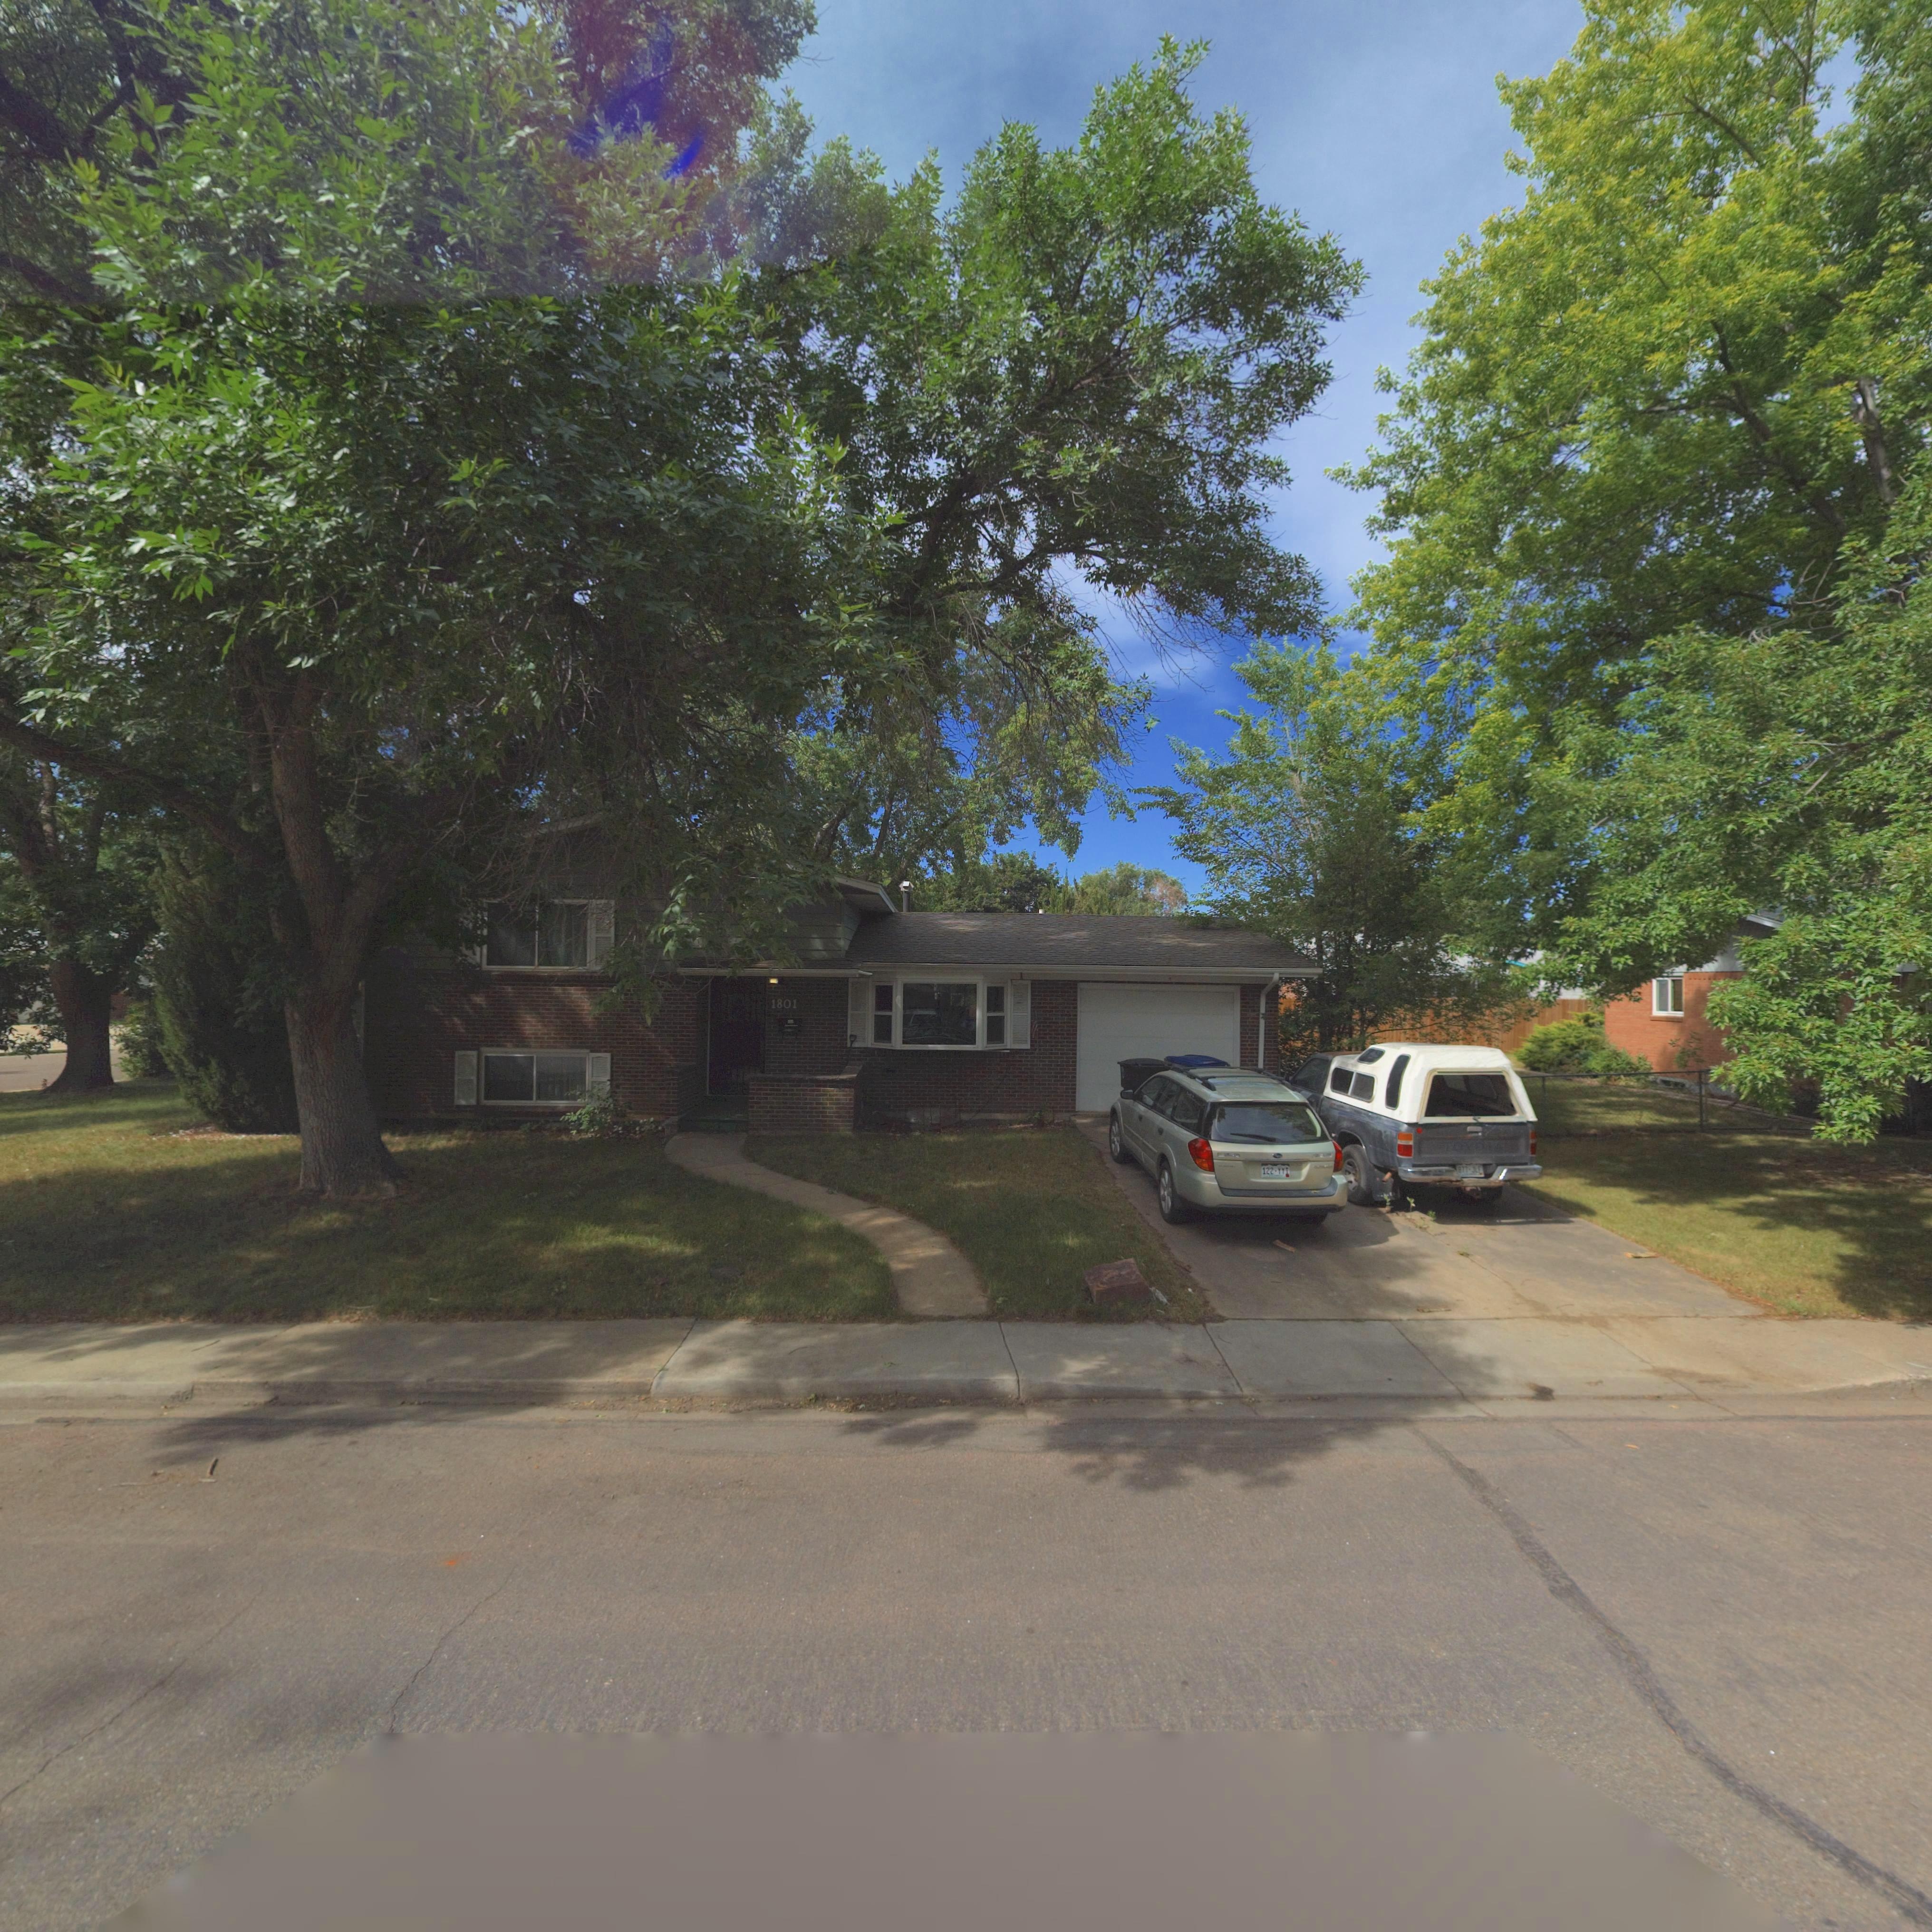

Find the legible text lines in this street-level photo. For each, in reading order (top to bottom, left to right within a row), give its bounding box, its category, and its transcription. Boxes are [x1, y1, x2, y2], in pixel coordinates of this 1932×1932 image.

[771, 999, 797, 1008] StreetNumber: 1801